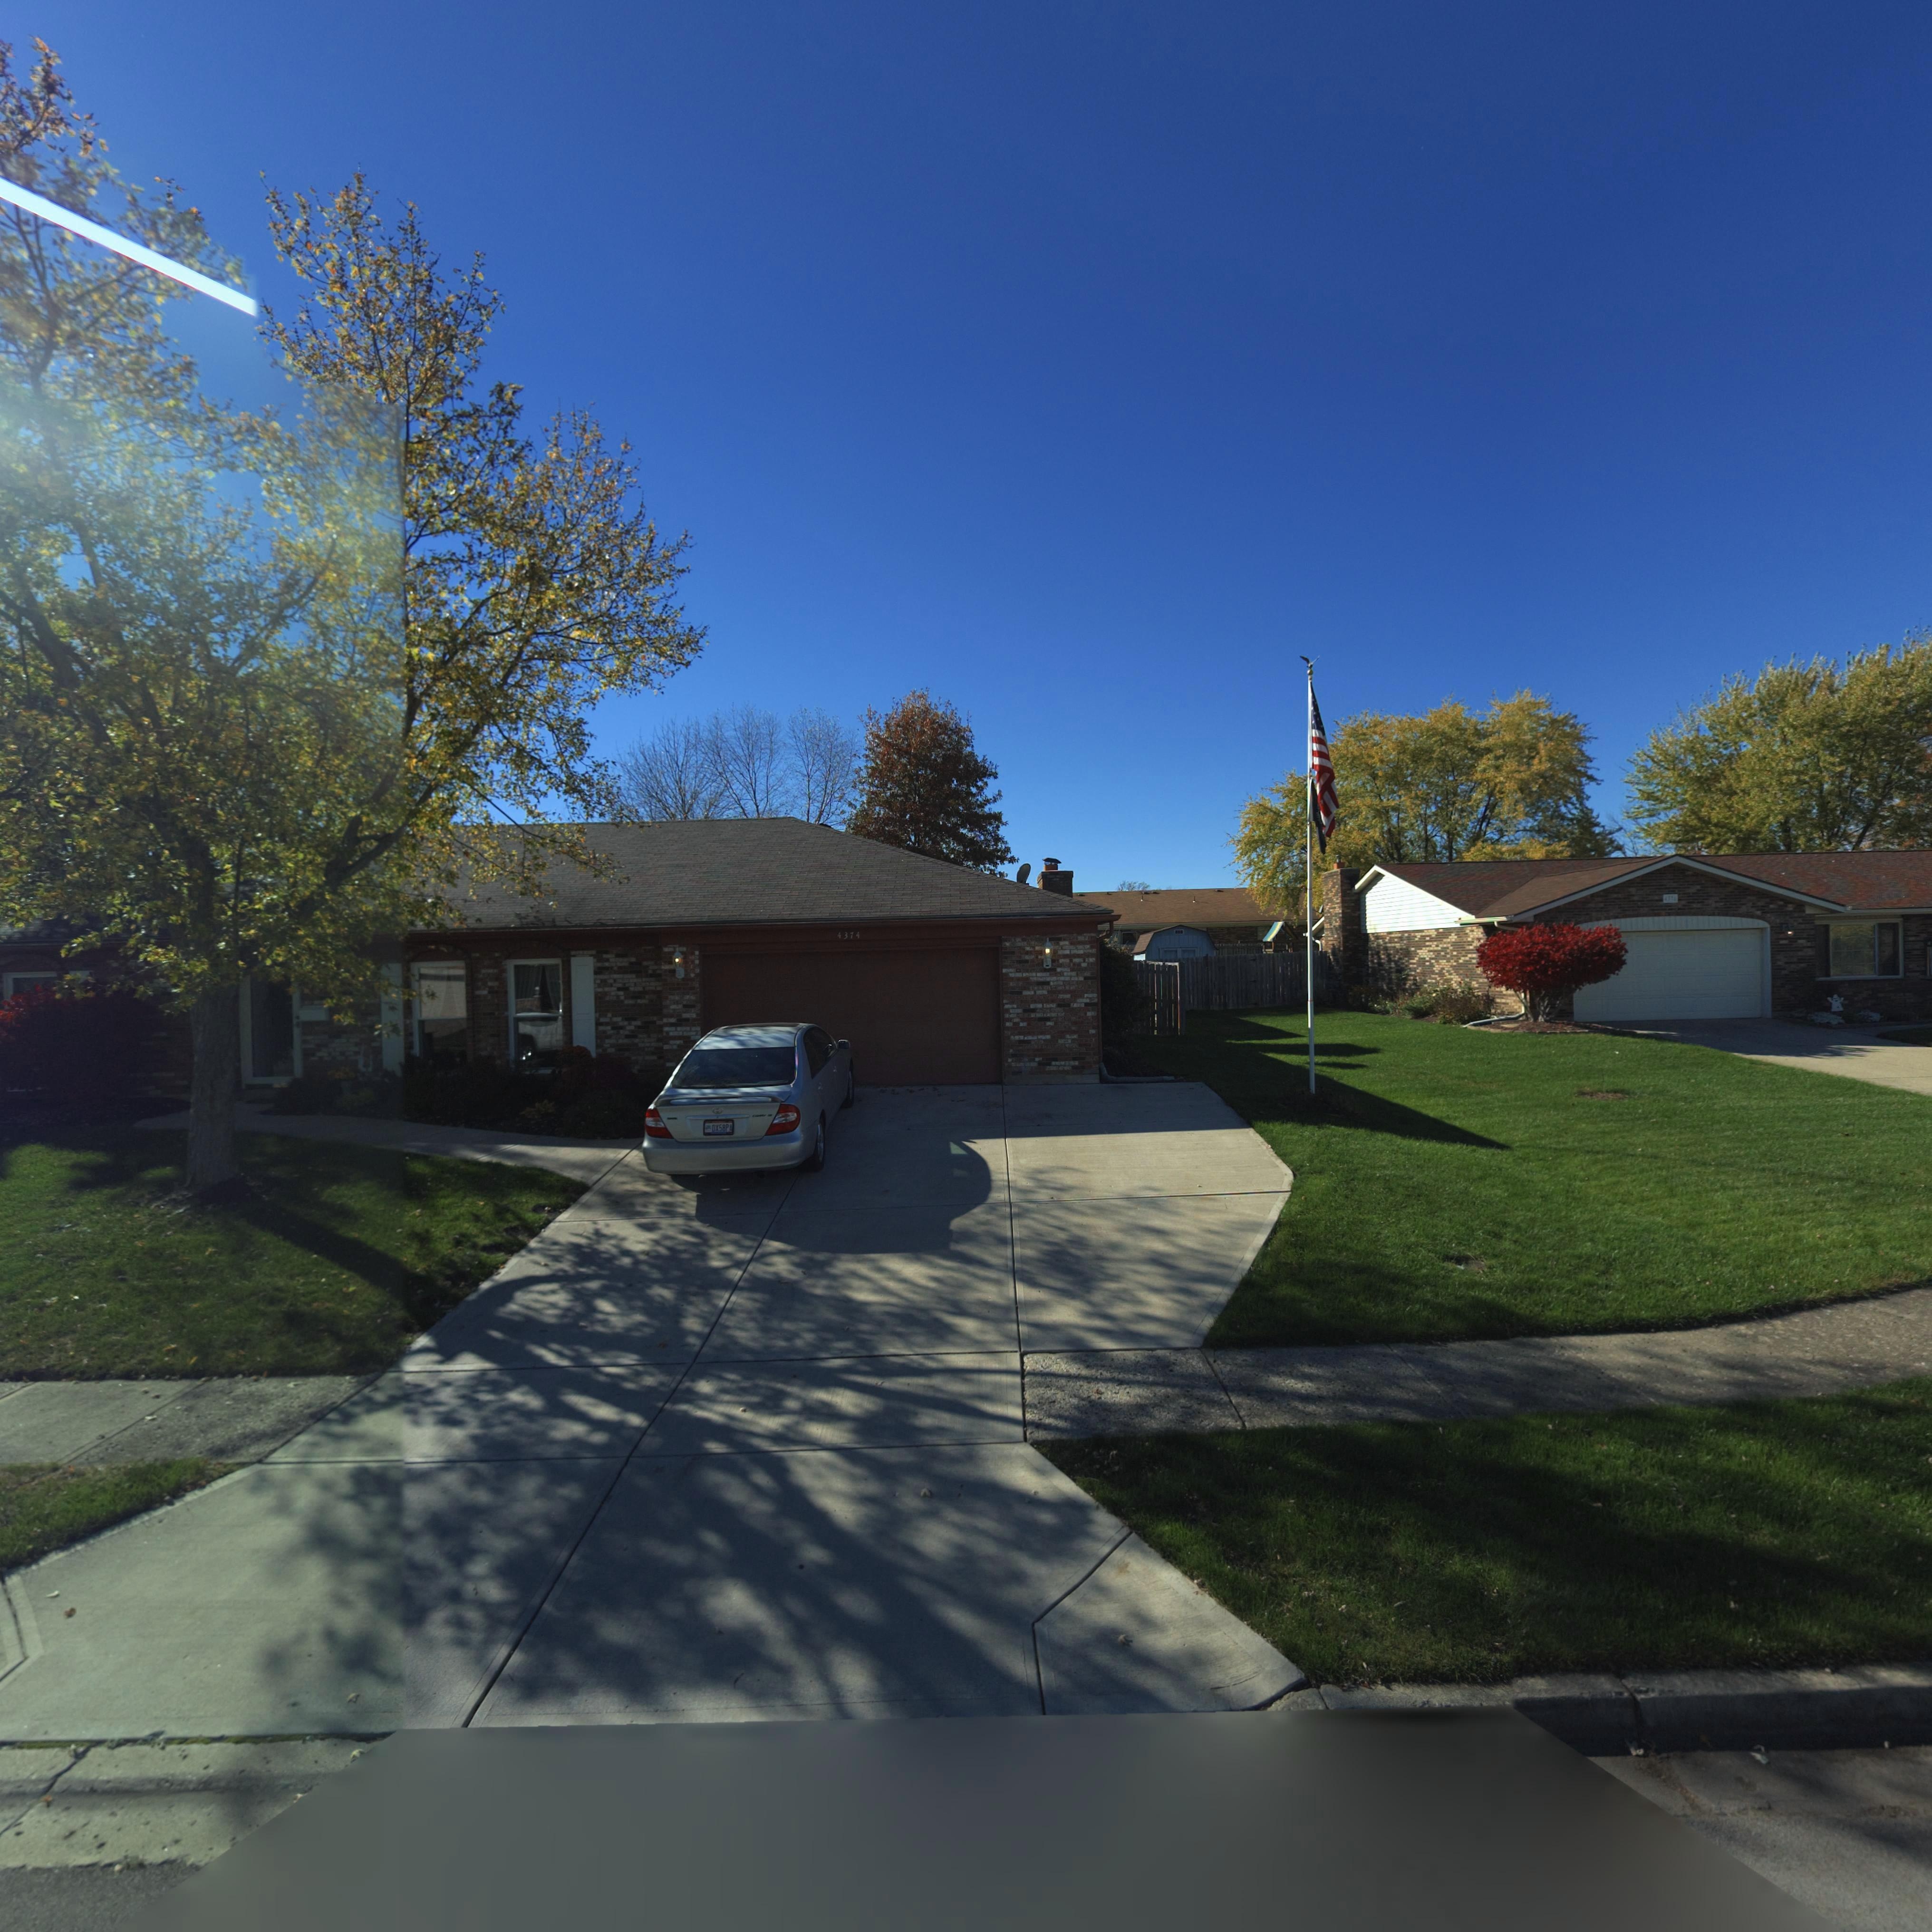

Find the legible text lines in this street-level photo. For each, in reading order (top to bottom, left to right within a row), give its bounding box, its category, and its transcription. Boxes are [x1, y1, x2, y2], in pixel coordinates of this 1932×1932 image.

[1663, 895, 1677, 902] StreetNumber: 43**
[837, 931, 860, 940] StreetNumber: 4374